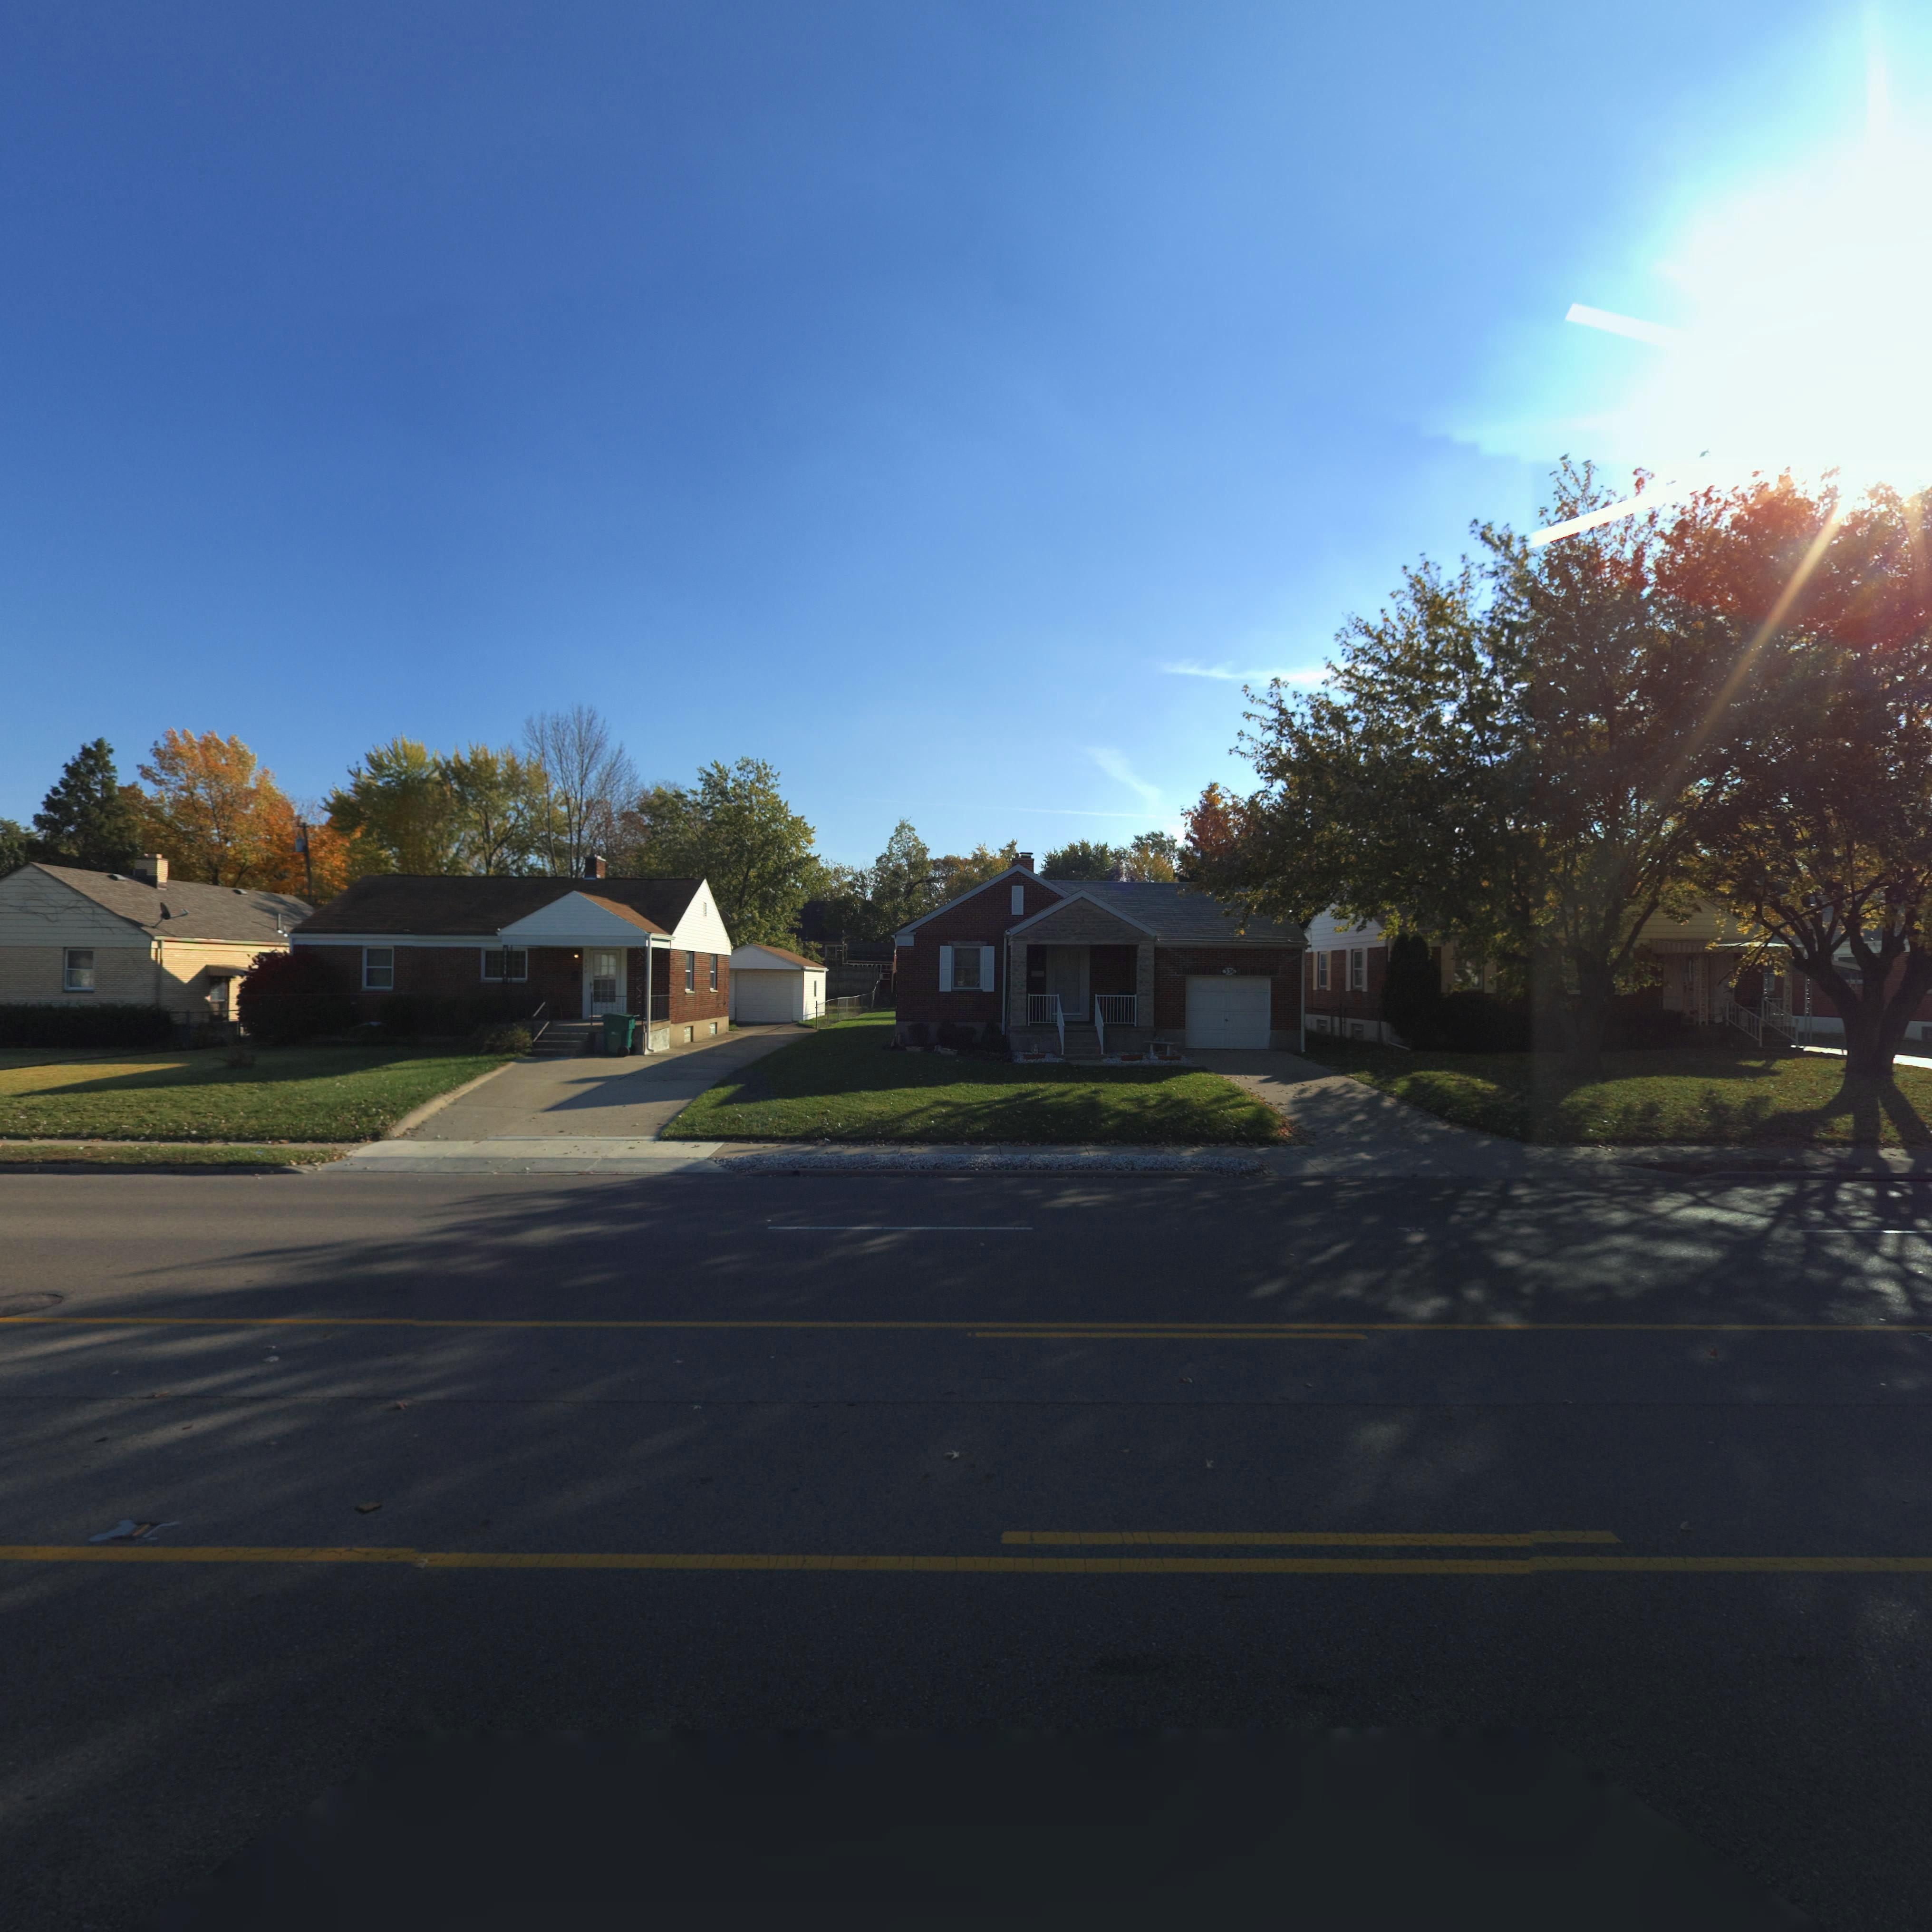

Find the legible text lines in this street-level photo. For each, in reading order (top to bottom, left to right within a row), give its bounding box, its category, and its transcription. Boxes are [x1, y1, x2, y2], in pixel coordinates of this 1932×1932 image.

[1224, 968, 1236, 975] StreetNumber: 33*